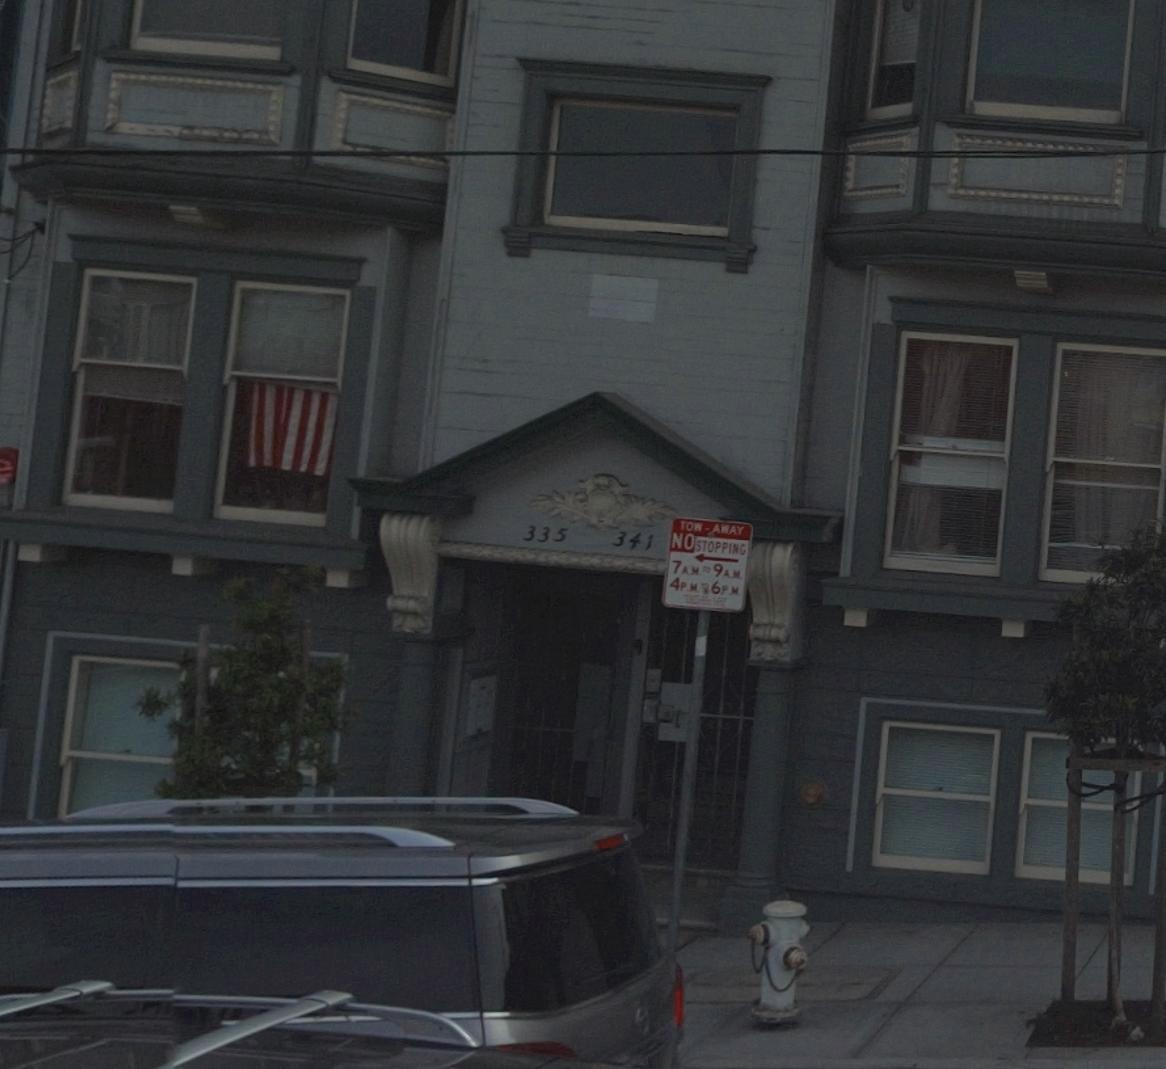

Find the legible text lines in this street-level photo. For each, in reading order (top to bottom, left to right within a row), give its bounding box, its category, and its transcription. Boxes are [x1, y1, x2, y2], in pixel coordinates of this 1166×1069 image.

[519, 523, 570, 546] StreetNumber: 335
[610, 527, 656, 555] StreetNumber: 341
[670, 529, 748, 557] None: NO STOPPING
[679, 519, 747, 537] None: TOW-AWAY
[669, 558, 742, 581] None: 7AM-9AM
[666, 576, 741, 598] None: 4PM*6PM